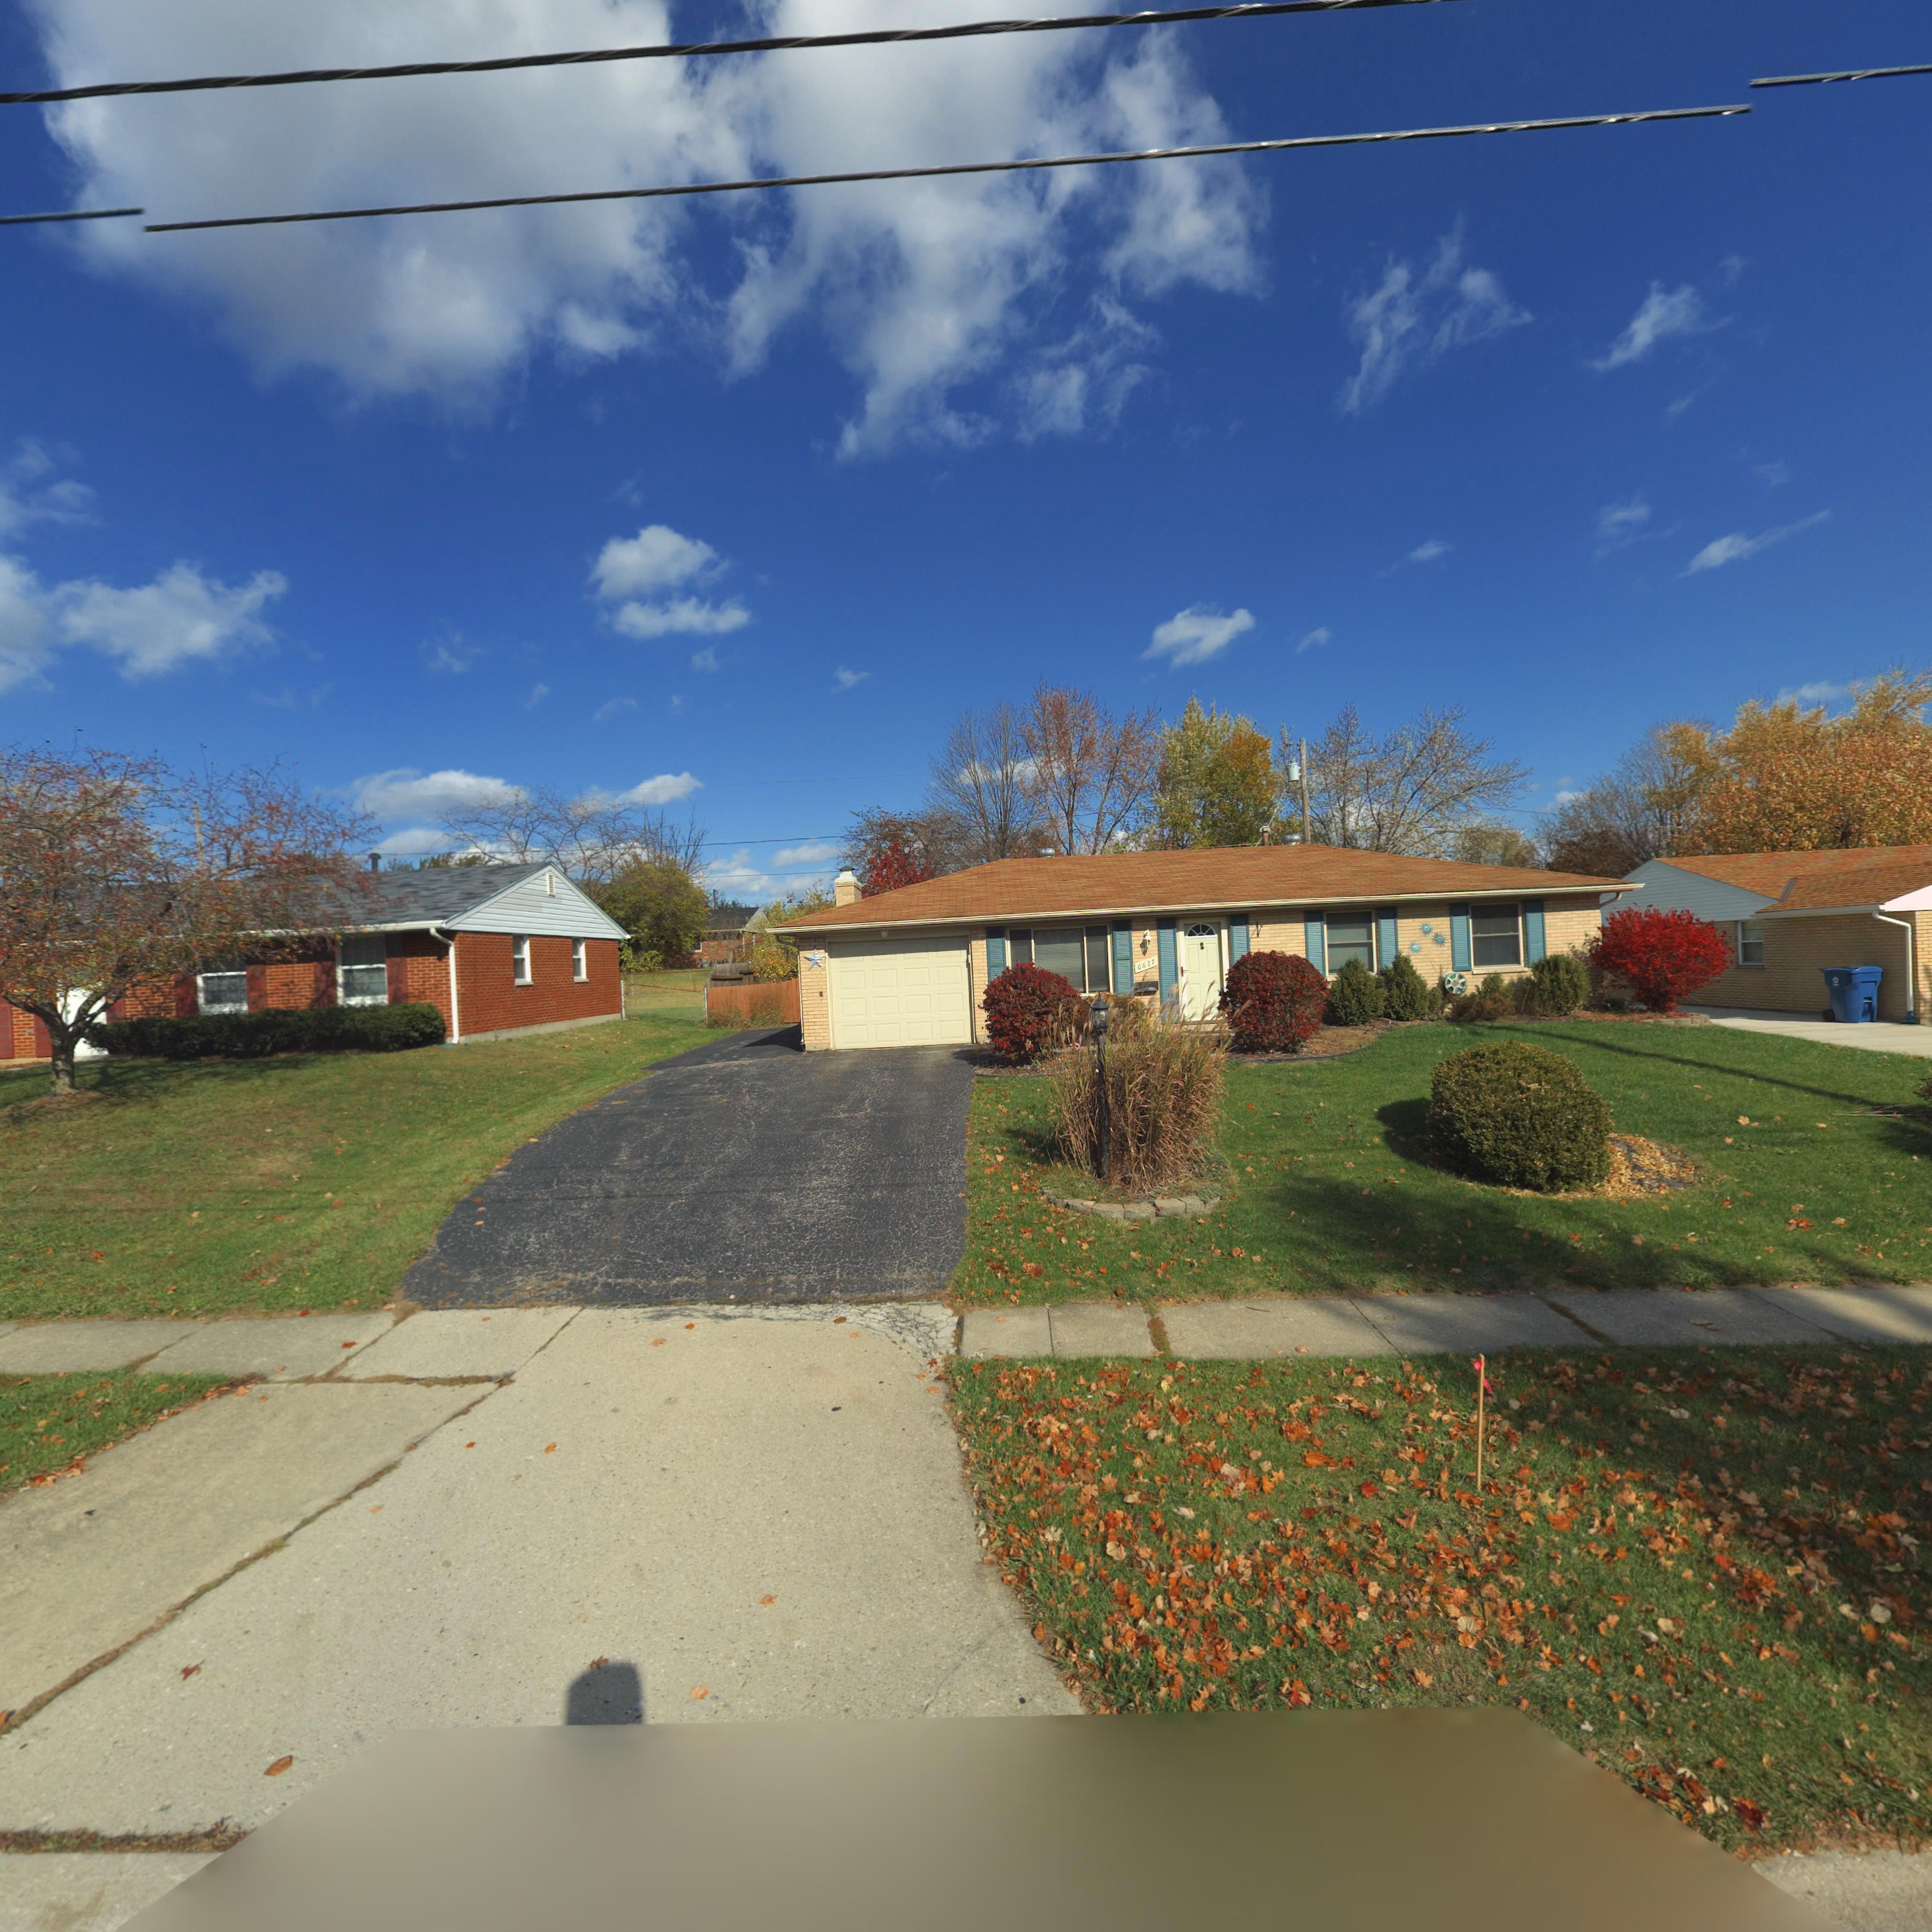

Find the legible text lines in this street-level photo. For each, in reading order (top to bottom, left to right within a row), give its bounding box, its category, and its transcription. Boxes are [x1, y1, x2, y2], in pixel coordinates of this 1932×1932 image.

[1137, 958, 1155, 971] StreetNumber: 6627